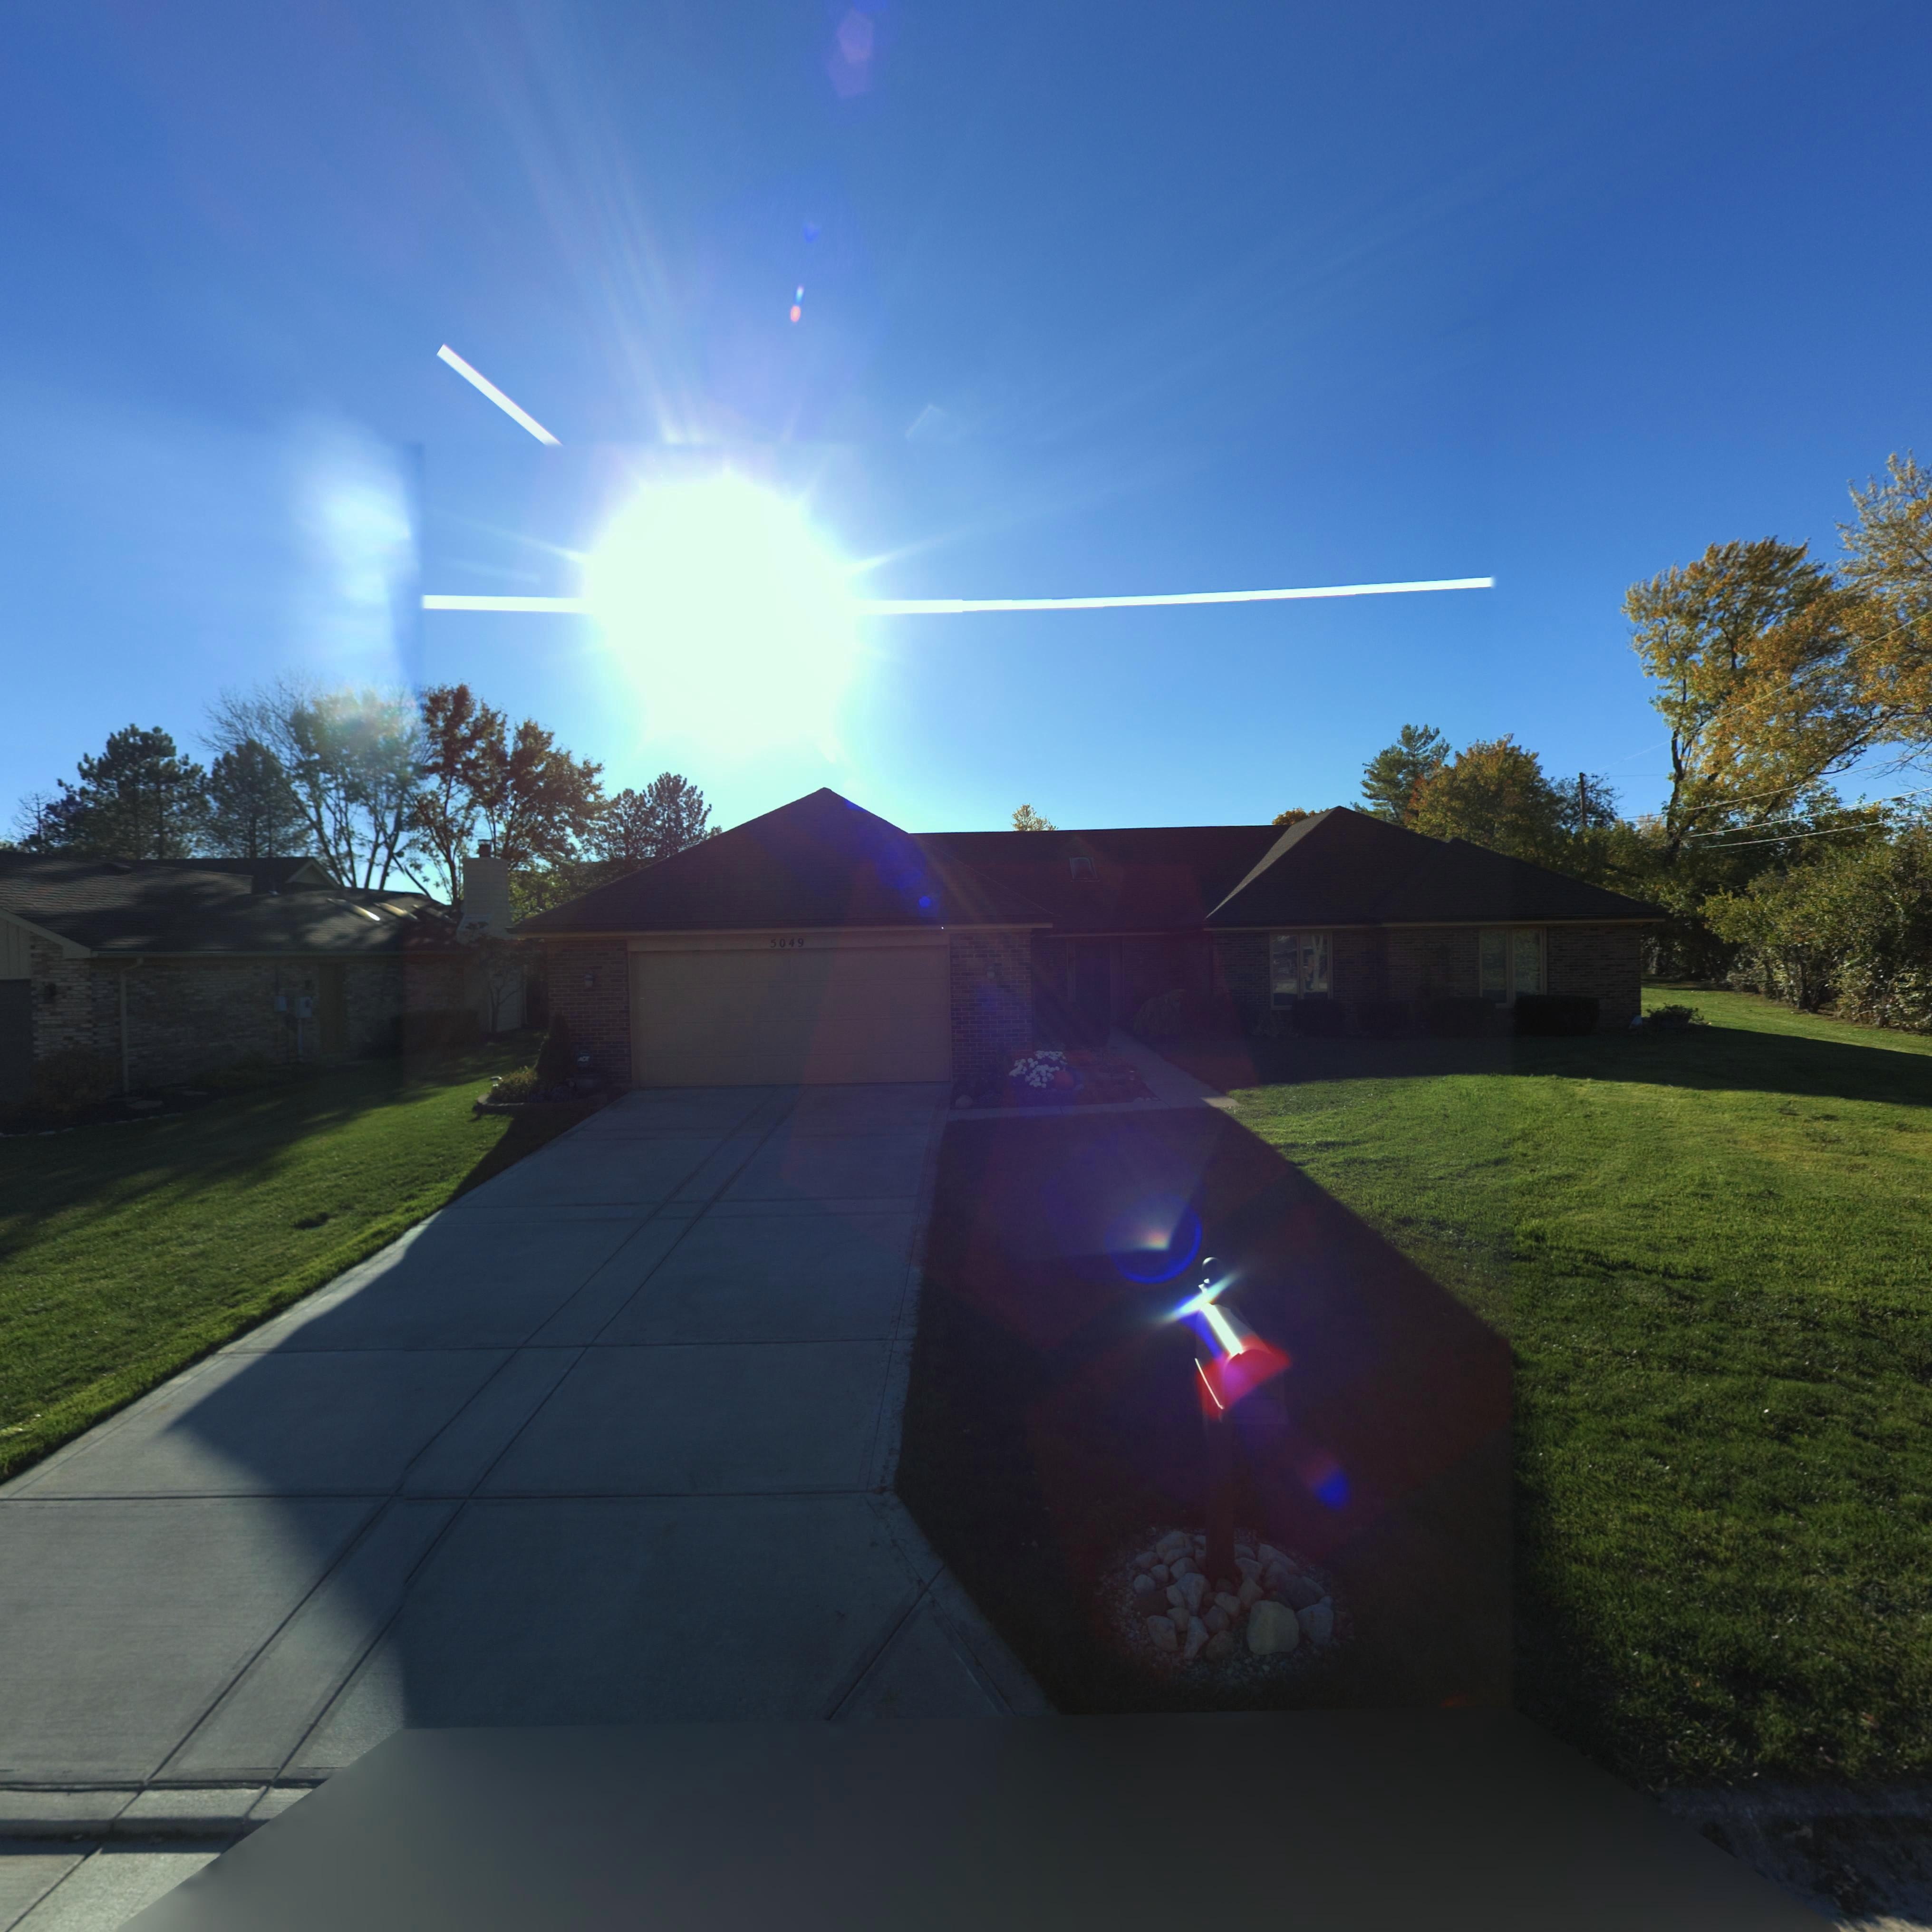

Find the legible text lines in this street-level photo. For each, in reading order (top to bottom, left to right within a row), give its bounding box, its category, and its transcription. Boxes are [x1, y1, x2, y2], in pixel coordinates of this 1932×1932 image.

[770, 937, 805, 948] StreetNumber: 5049